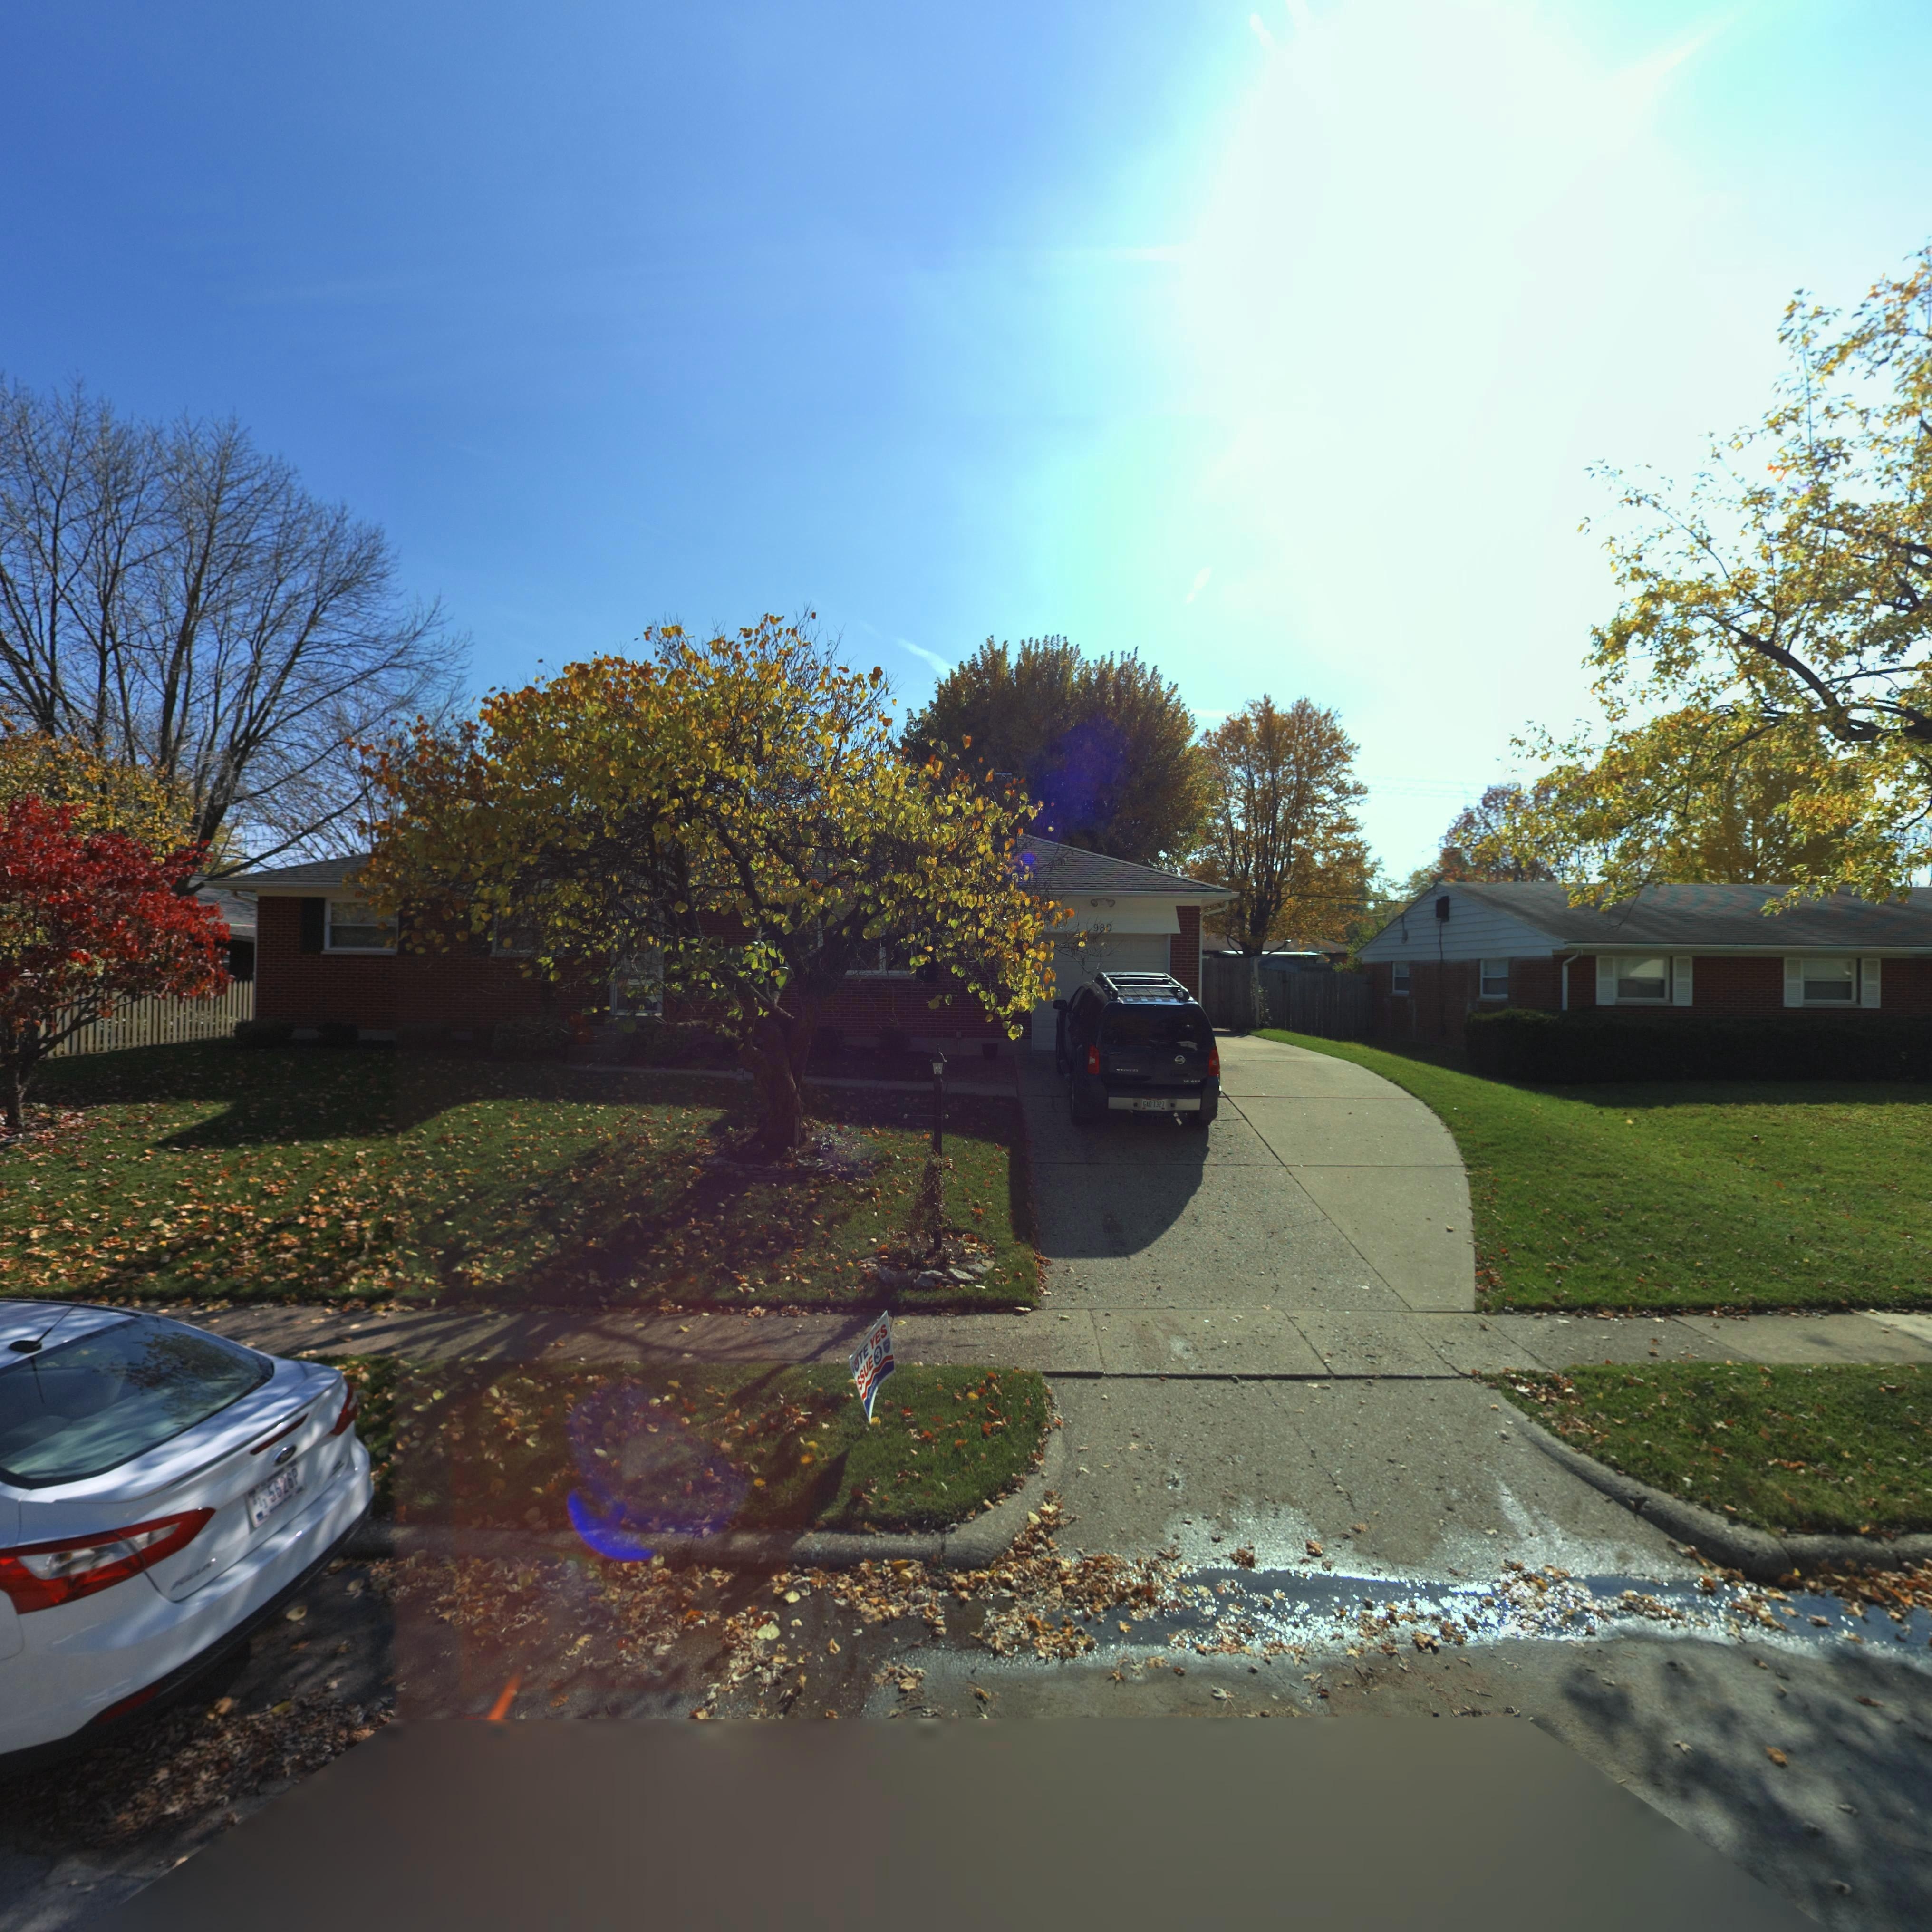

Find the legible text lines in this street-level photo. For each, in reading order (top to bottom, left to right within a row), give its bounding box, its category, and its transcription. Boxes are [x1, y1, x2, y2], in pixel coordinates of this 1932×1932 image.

[1092, 922, 1113, 933] StreetNumber: 980
[1142, 1099, 1166, 1109] None: GAD 1327
[851, 1322, 889, 1374] None: OTE YES
[856, 1346, 883, 1392] None: SSUE 3
[263, 1466, 301, 1506] None: 5626P